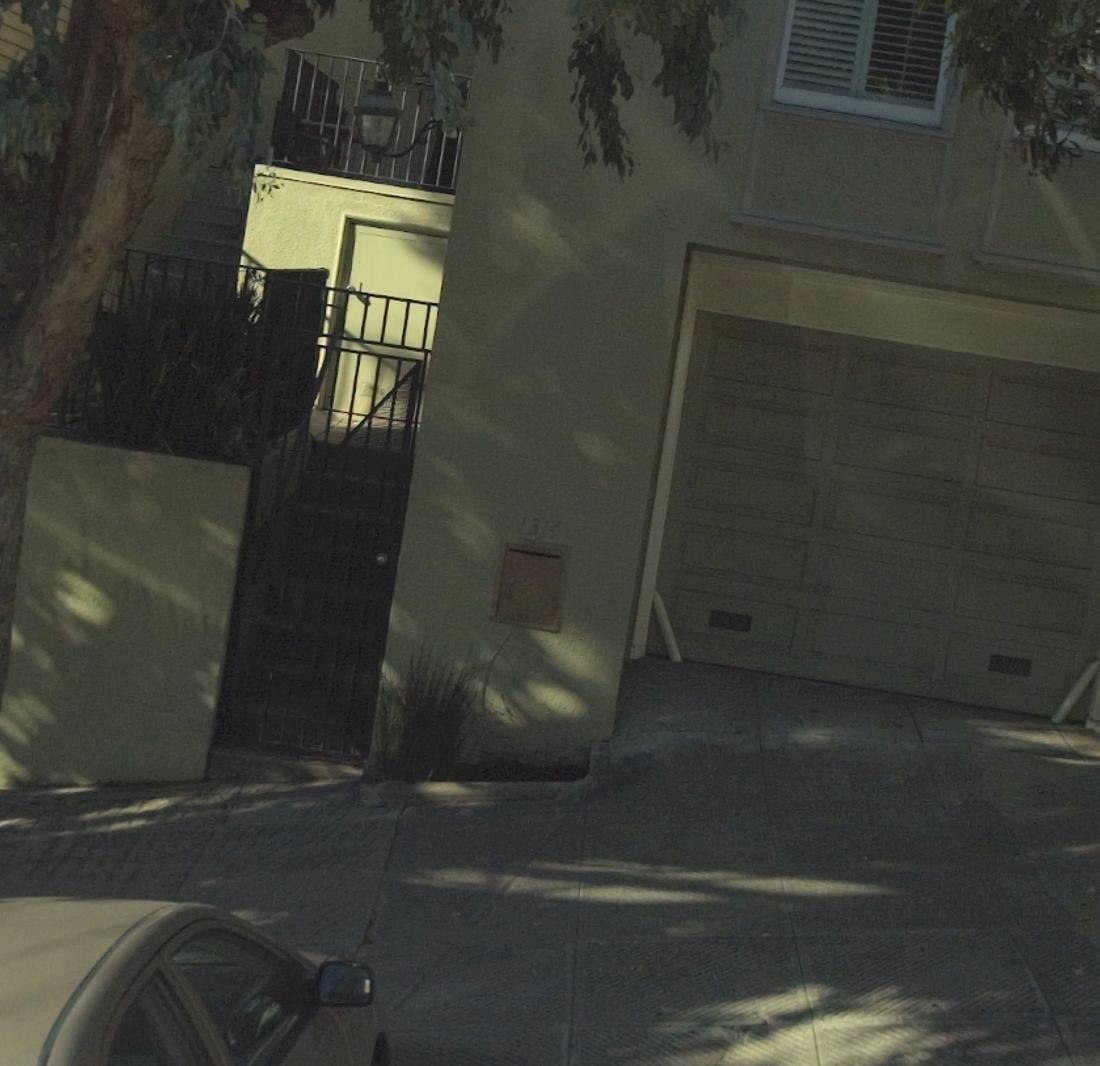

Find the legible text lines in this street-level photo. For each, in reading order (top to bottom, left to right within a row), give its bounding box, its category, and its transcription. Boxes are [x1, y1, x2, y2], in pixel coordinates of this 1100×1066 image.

[513, 514, 565, 541] StreetNumber: 1314